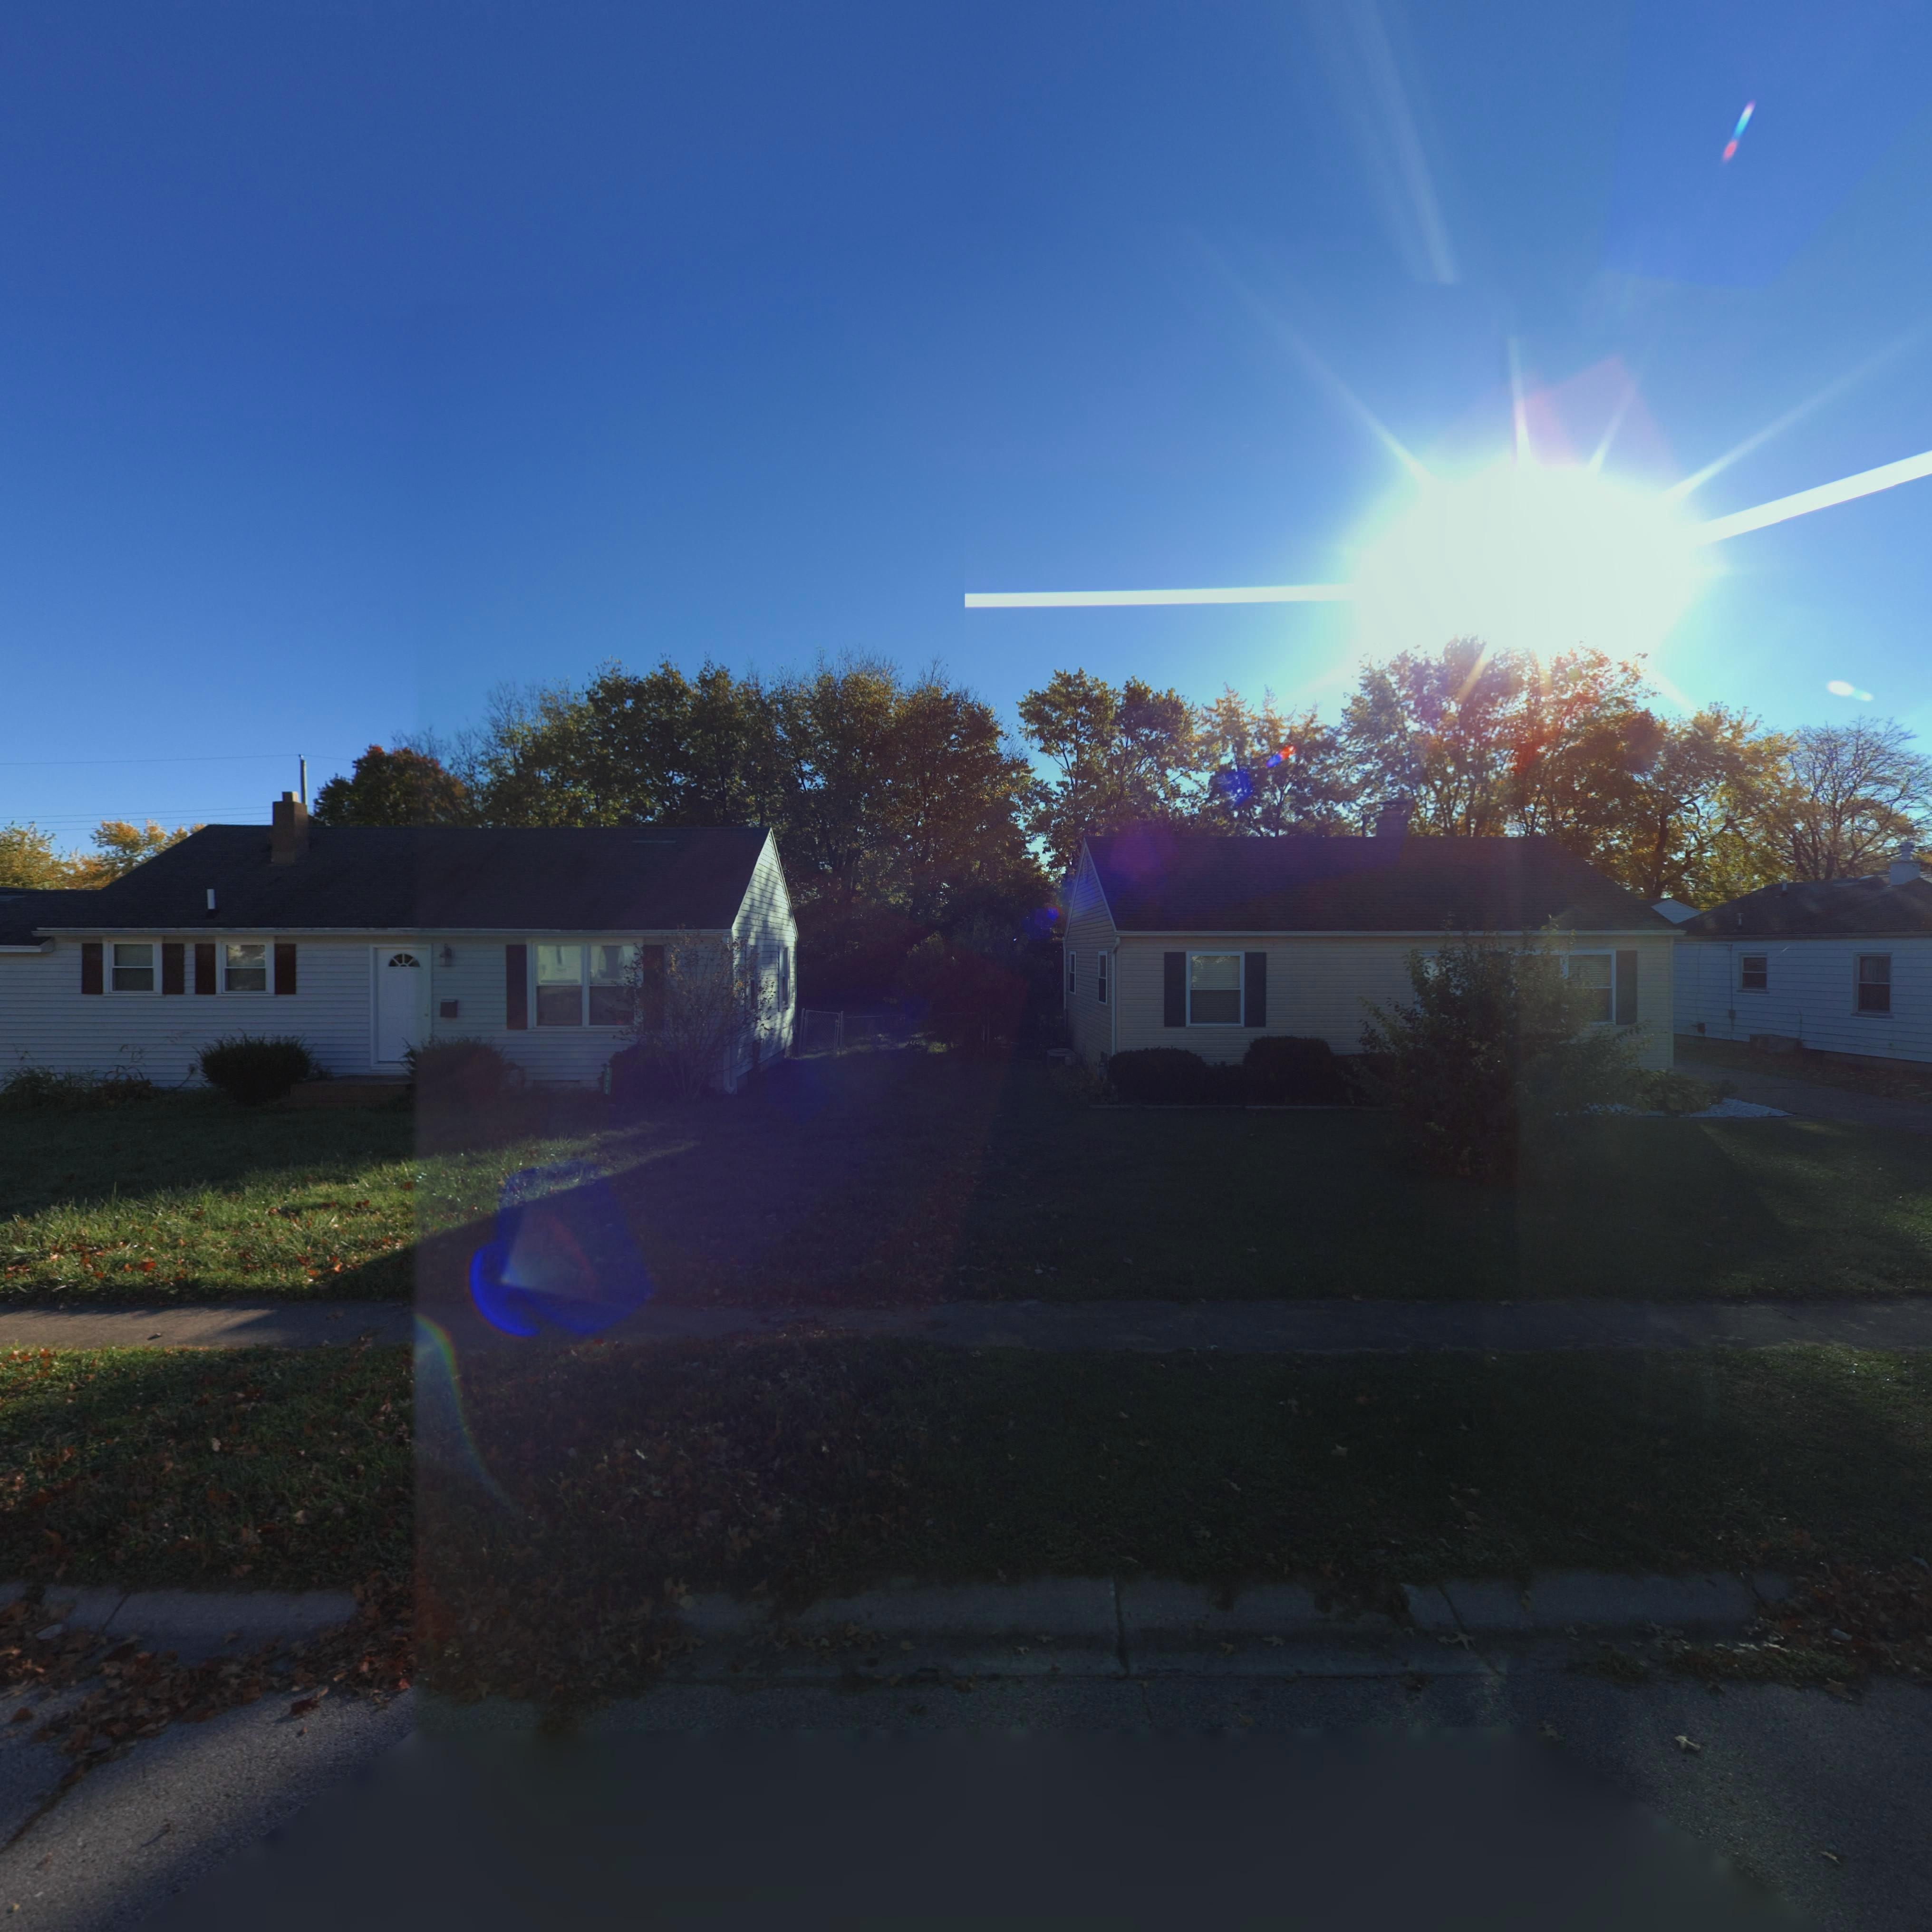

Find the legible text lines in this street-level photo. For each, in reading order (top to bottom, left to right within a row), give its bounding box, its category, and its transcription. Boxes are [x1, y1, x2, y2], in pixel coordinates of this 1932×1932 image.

[604, 1067, 611, 1095] StreetNumber: 5028